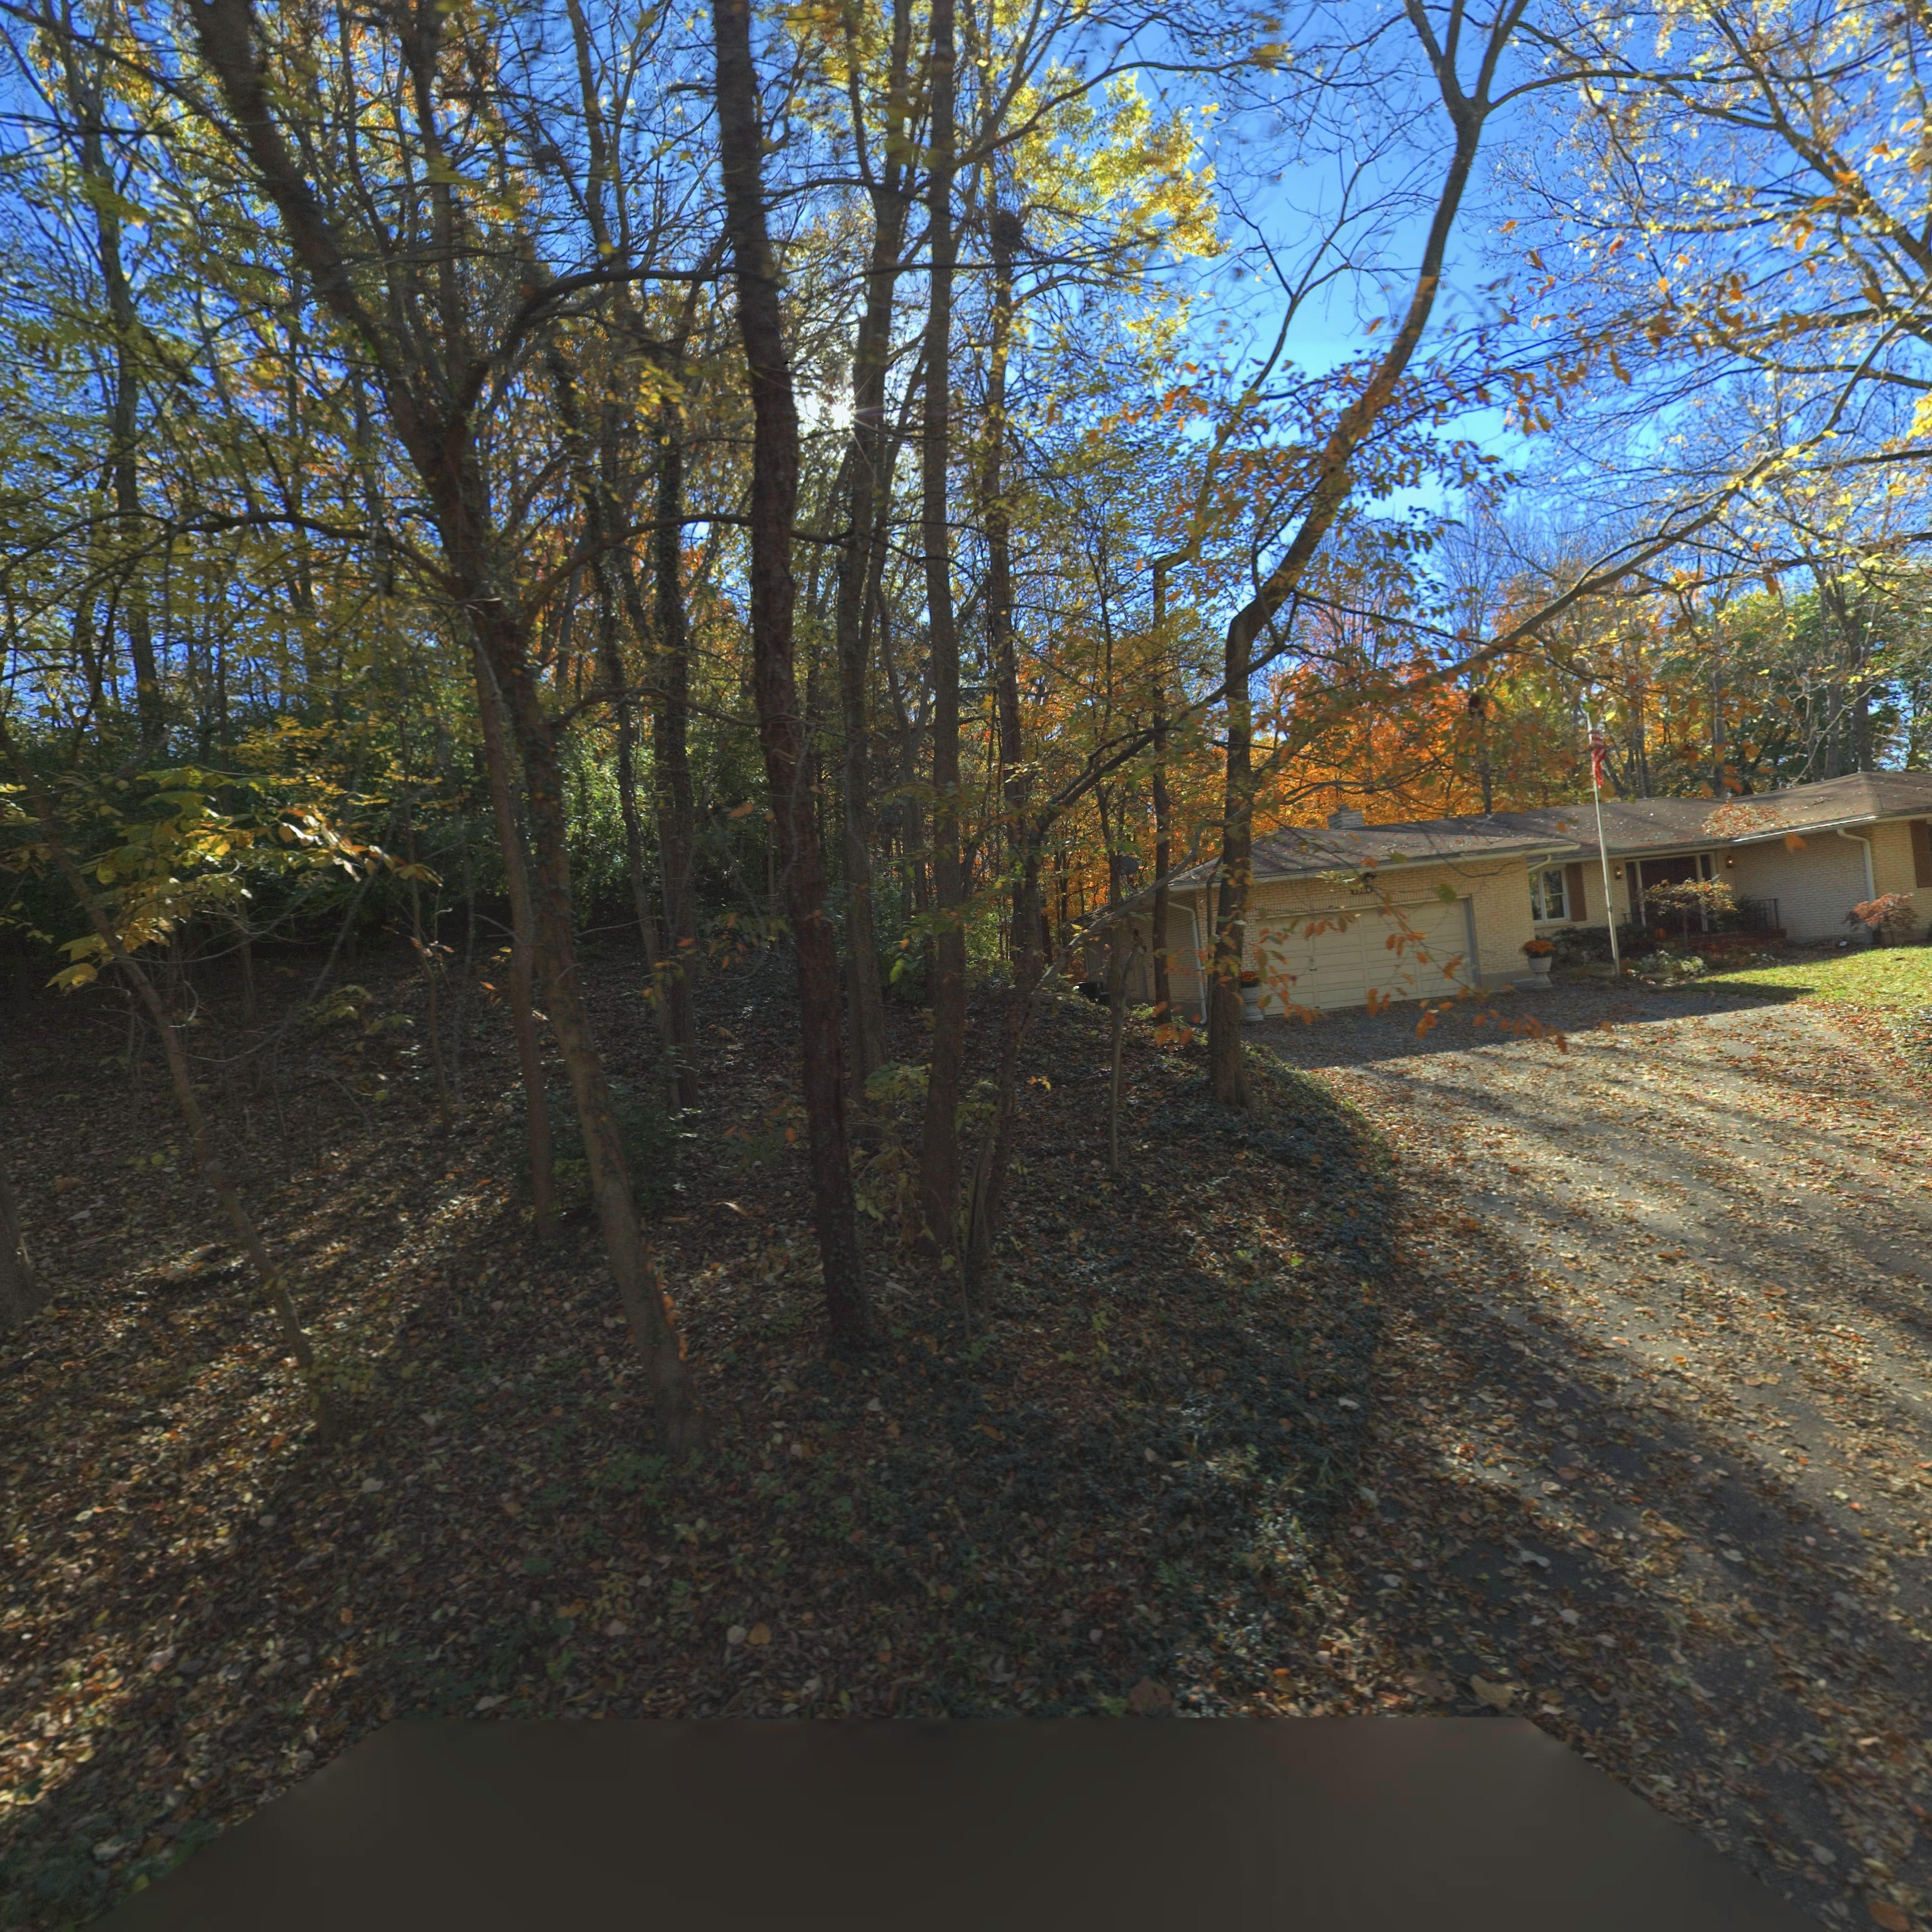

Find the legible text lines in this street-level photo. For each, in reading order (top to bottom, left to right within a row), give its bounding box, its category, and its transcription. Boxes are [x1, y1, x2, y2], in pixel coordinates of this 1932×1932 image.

[1361, 885, 1367, 895] StreetNumber: 6